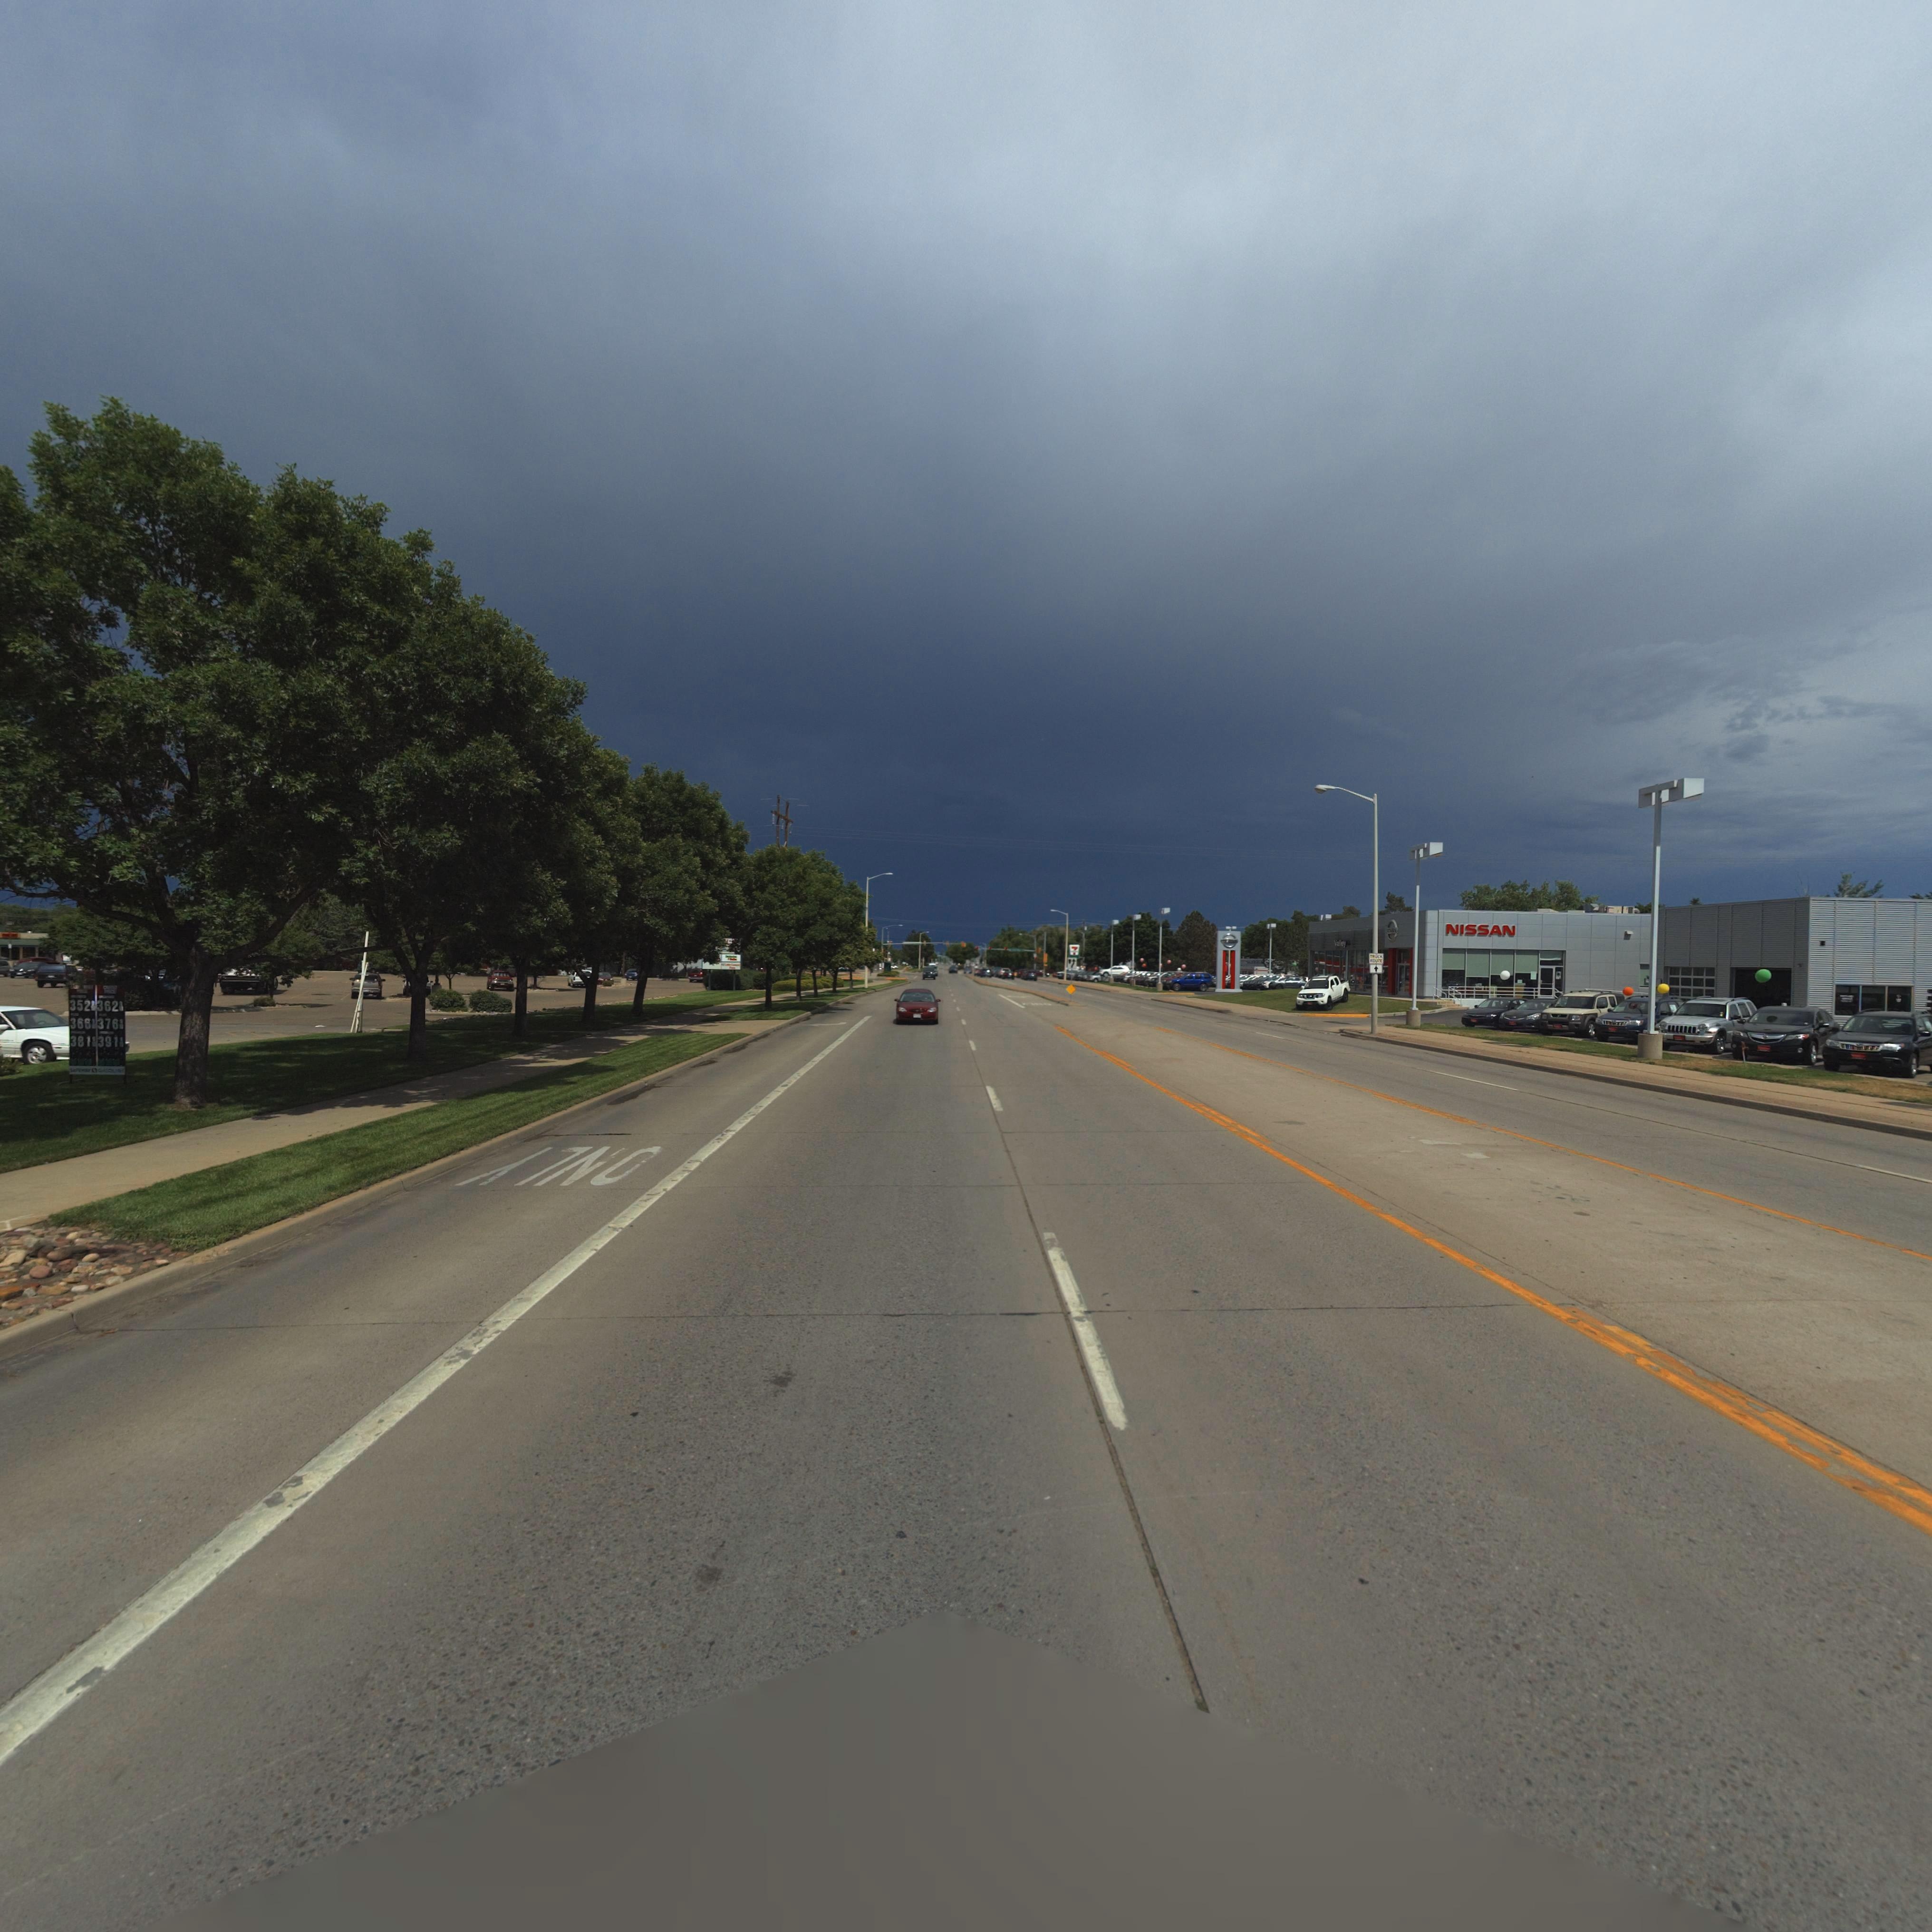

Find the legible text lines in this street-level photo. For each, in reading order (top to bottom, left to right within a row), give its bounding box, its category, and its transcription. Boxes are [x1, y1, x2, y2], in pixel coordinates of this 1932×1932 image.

[1446, 923, 1516, 936] BusinessName: NISSAN
[1333, 939, 1347, 947] BusinessName: Valley
[1071, 946, 1078, 955] BusinessName: 7
[724, 963, 740, 966] BusinessName: Little Caesars
[729, 966, 735, 969] BusinessName: Pizza